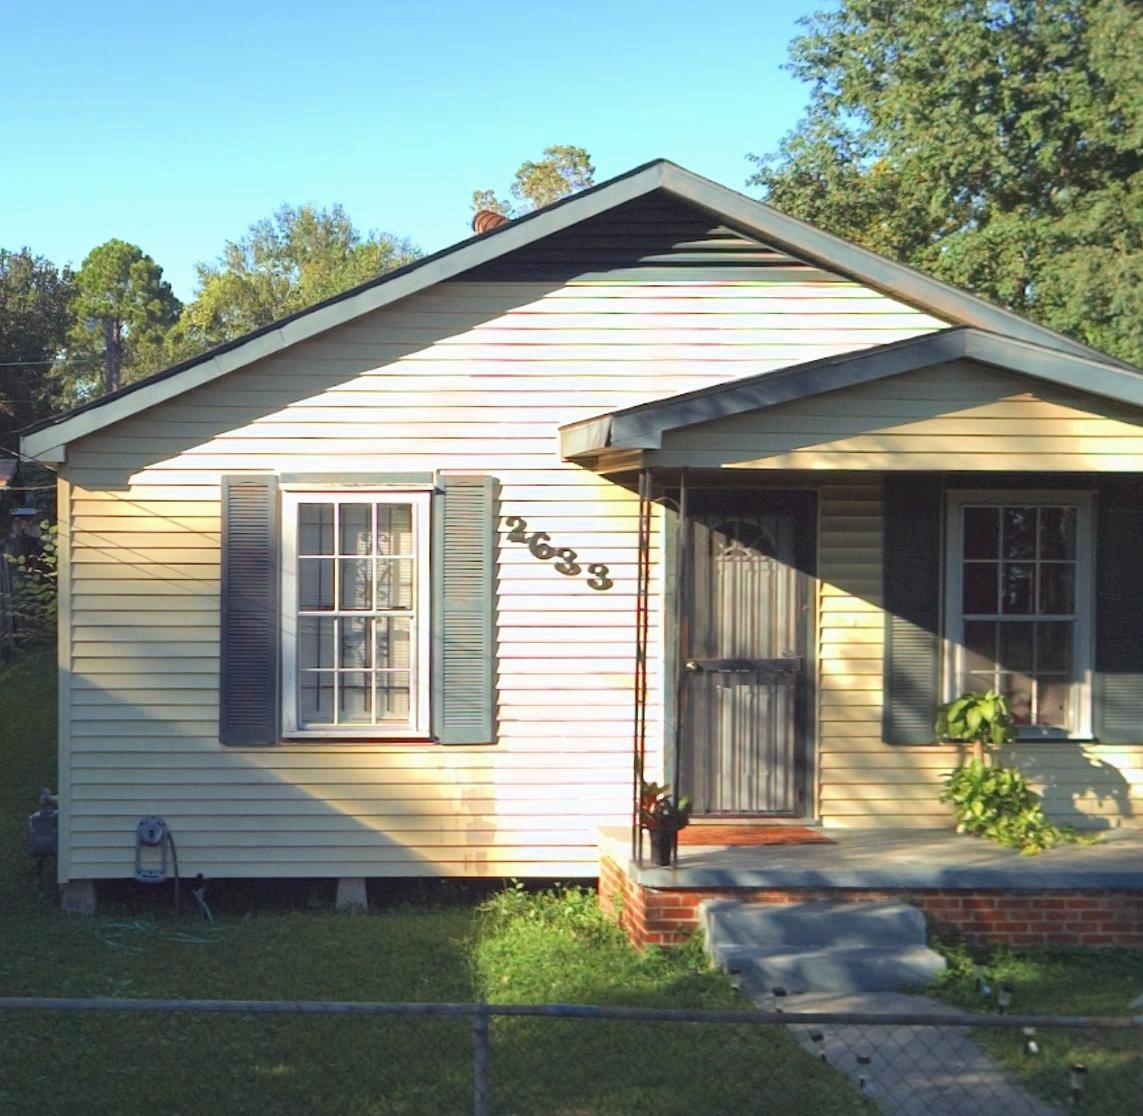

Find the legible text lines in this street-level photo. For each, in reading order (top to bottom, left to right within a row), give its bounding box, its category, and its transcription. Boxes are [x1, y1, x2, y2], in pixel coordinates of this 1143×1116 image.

[505, 515, 617, 591] StreetNumber: 2633